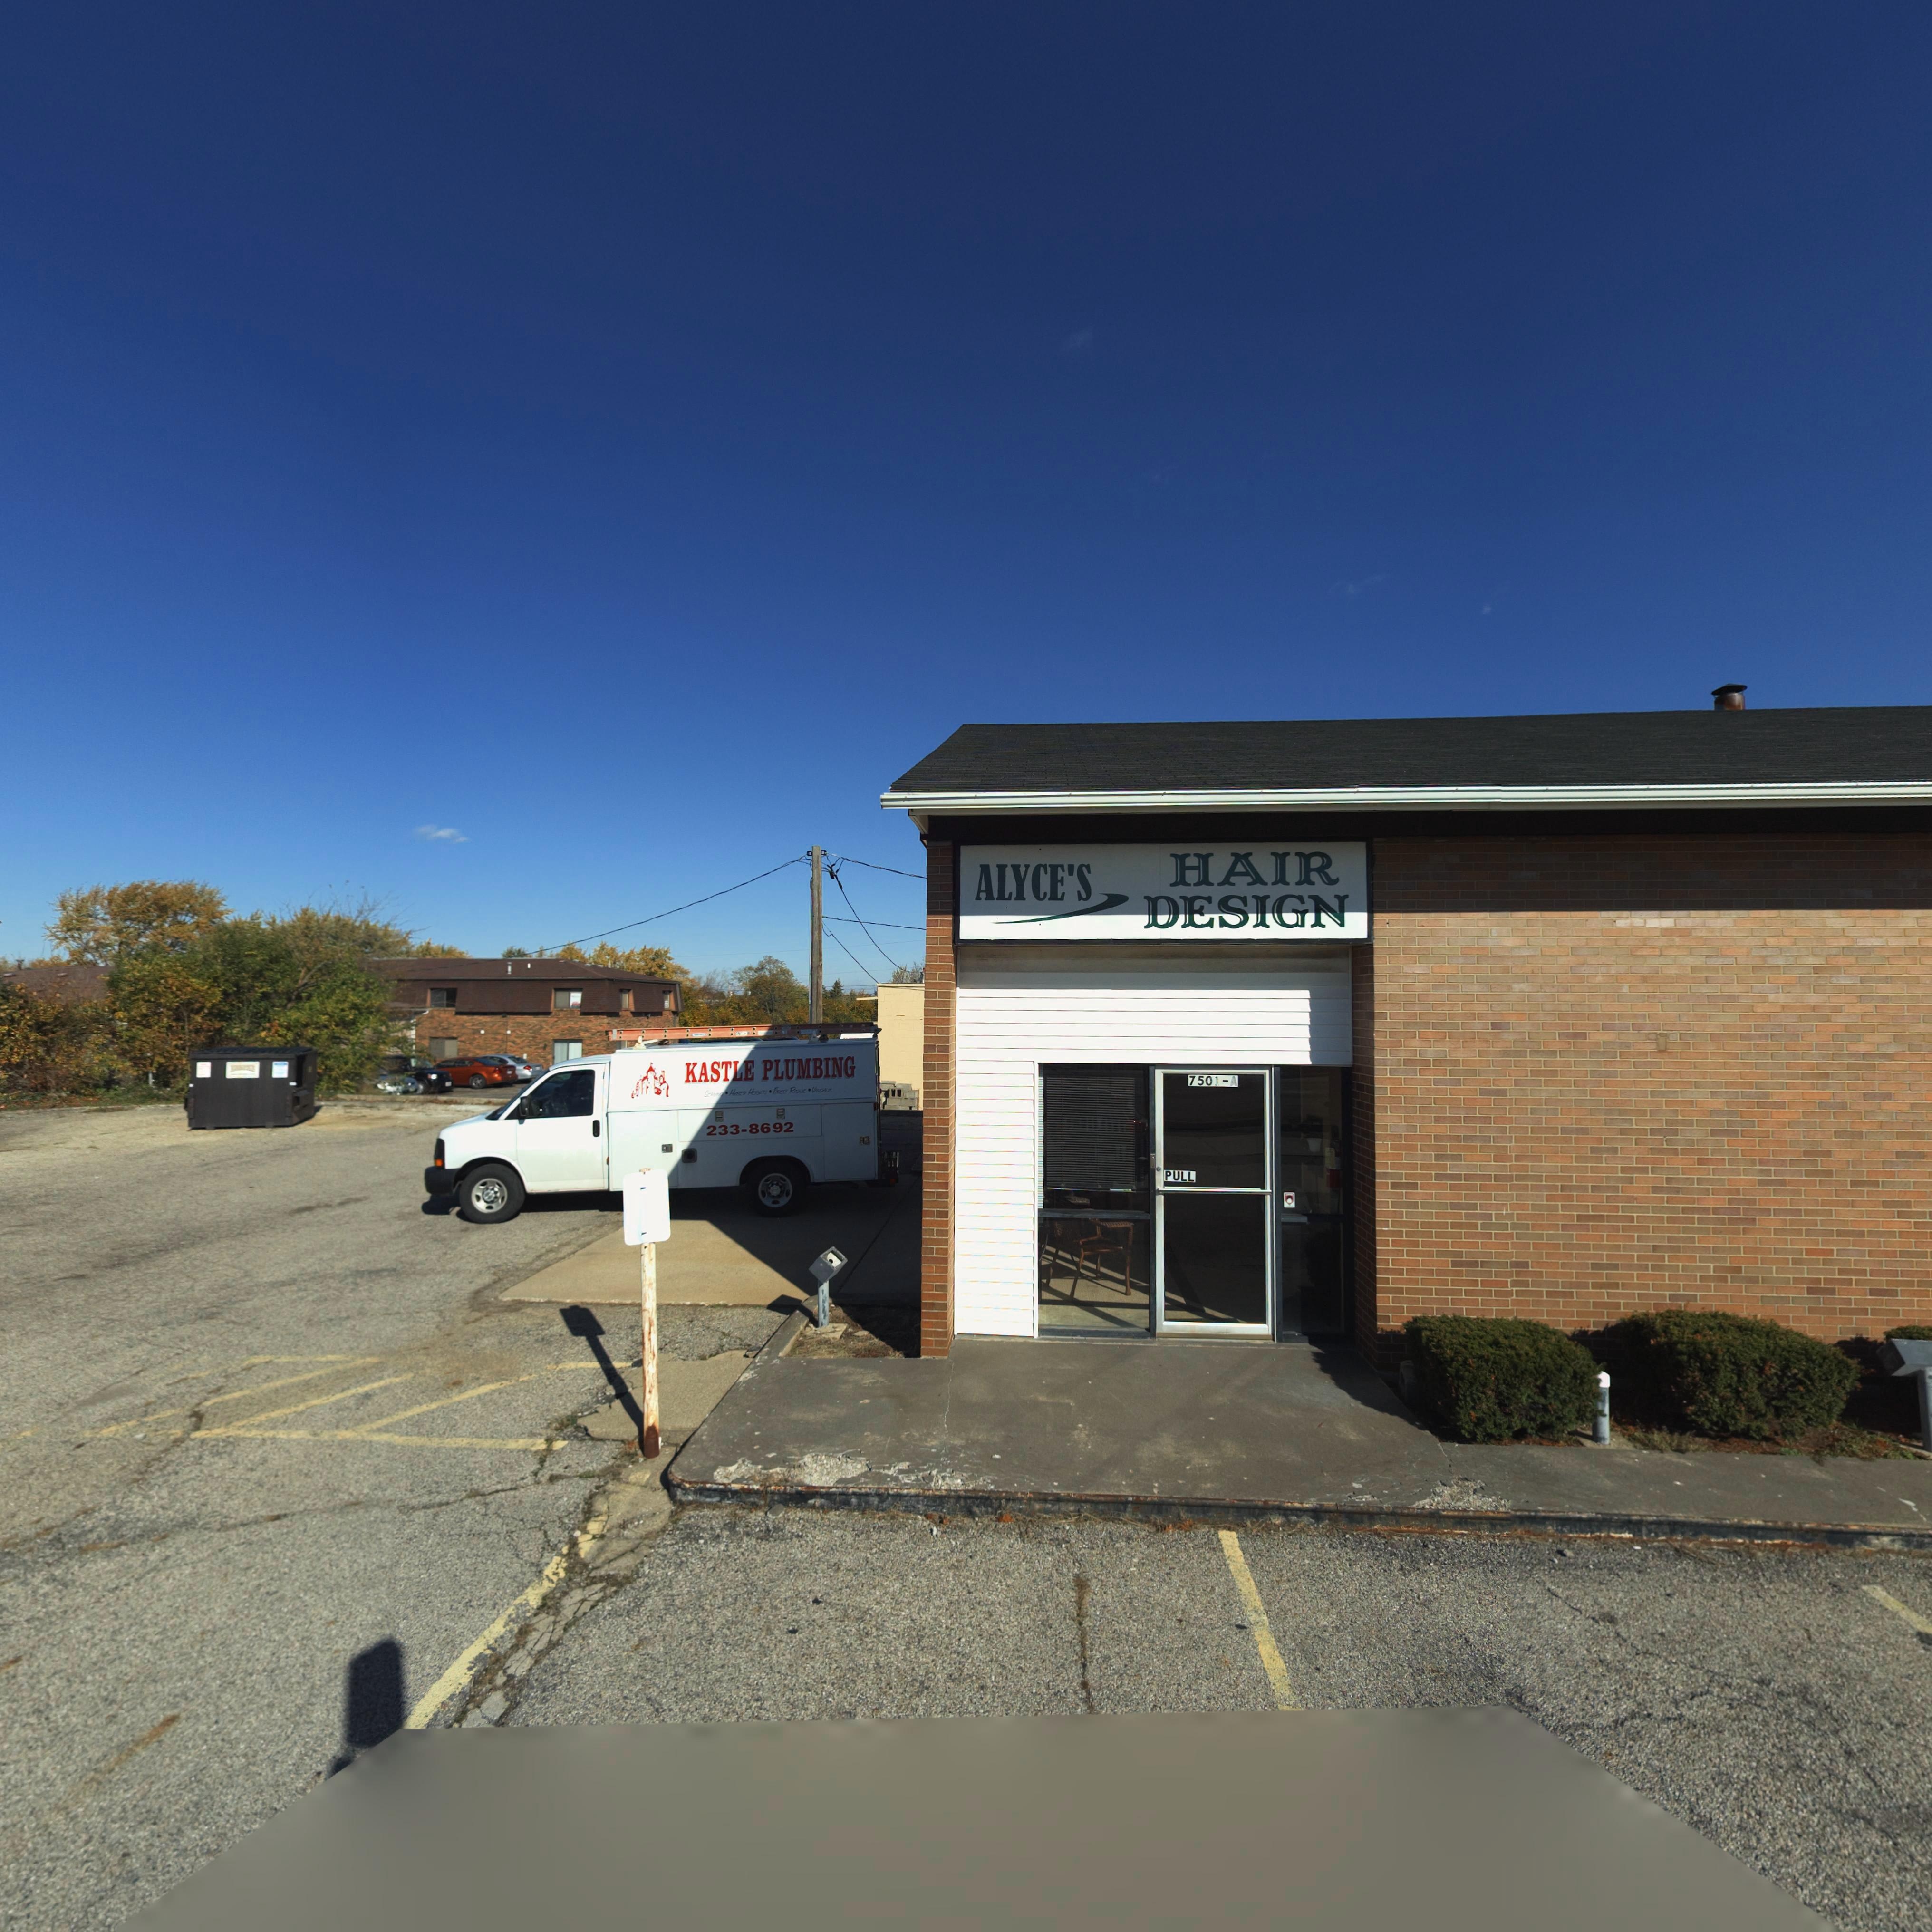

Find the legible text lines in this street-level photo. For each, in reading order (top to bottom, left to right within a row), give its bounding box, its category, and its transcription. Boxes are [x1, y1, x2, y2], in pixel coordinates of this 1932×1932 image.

[973, 863, 1092, 902] BusinessName: ALYCE'S
[1168, 850, 1342, 888] BusinessName: HAIR
[1142, 893, 1351, 930] BusinessName: DESIGN
[684, 1055, 857, 1083] None: KASTLE PLUMBING
[1188, 1075, 1220, 1087] StreetNumber: 7501